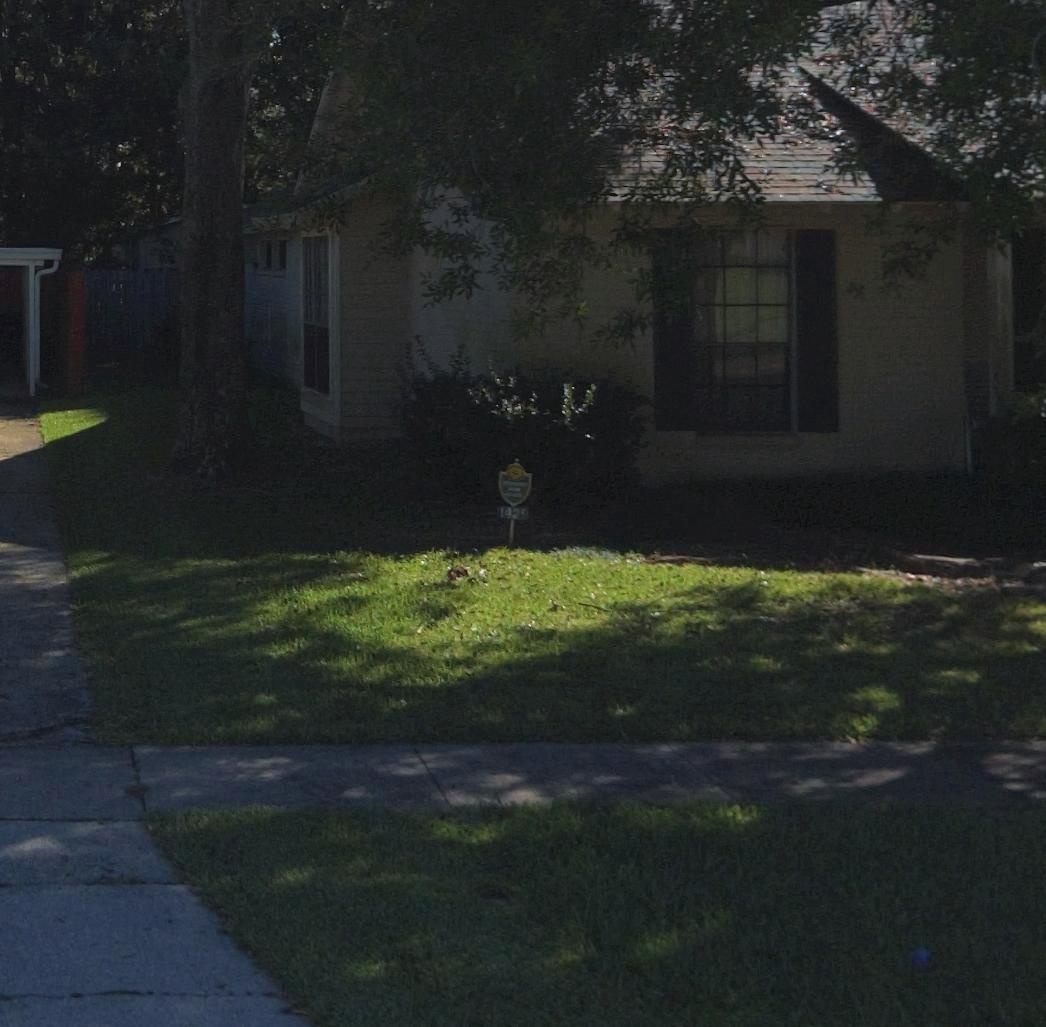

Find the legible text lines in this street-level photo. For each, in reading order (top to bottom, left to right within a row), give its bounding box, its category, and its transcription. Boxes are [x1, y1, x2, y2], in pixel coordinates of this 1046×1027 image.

[498, 504, 531, 523] StreetNumber: 1429